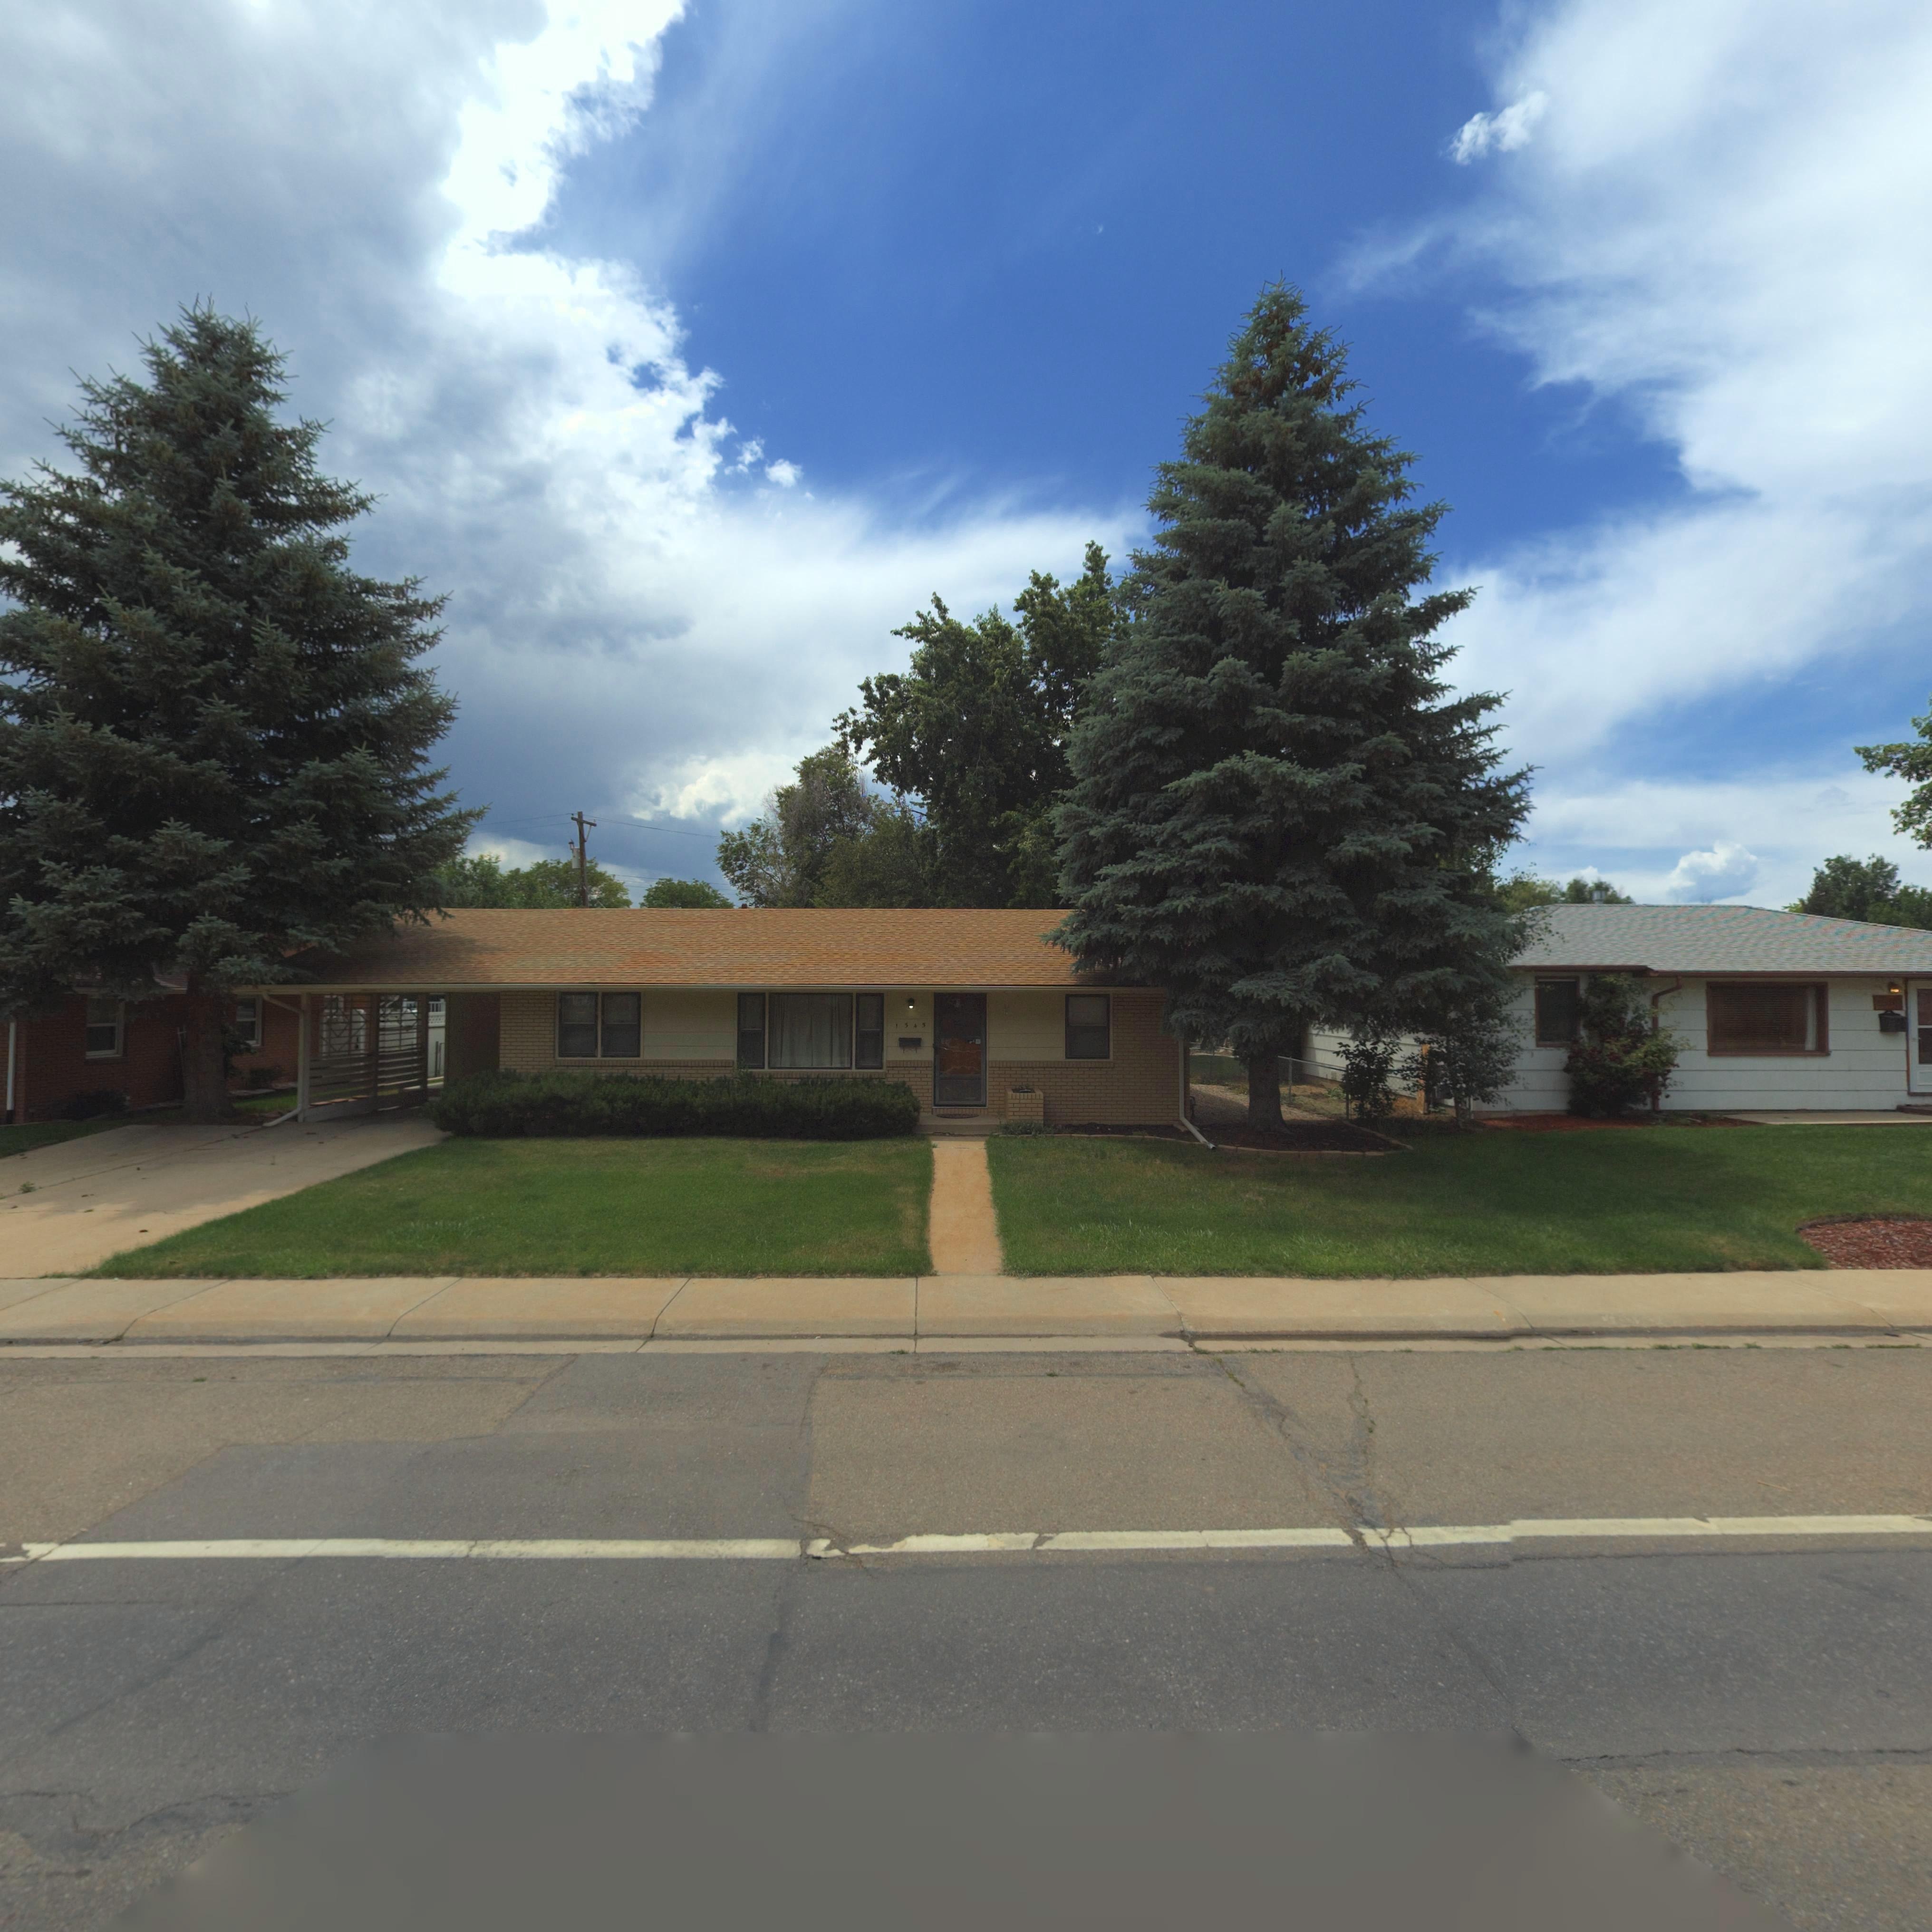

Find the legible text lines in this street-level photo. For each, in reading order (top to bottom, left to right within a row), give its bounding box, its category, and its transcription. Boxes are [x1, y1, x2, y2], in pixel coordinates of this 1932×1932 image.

[895, 1022, 926, 1028] StreetNumber: 1545